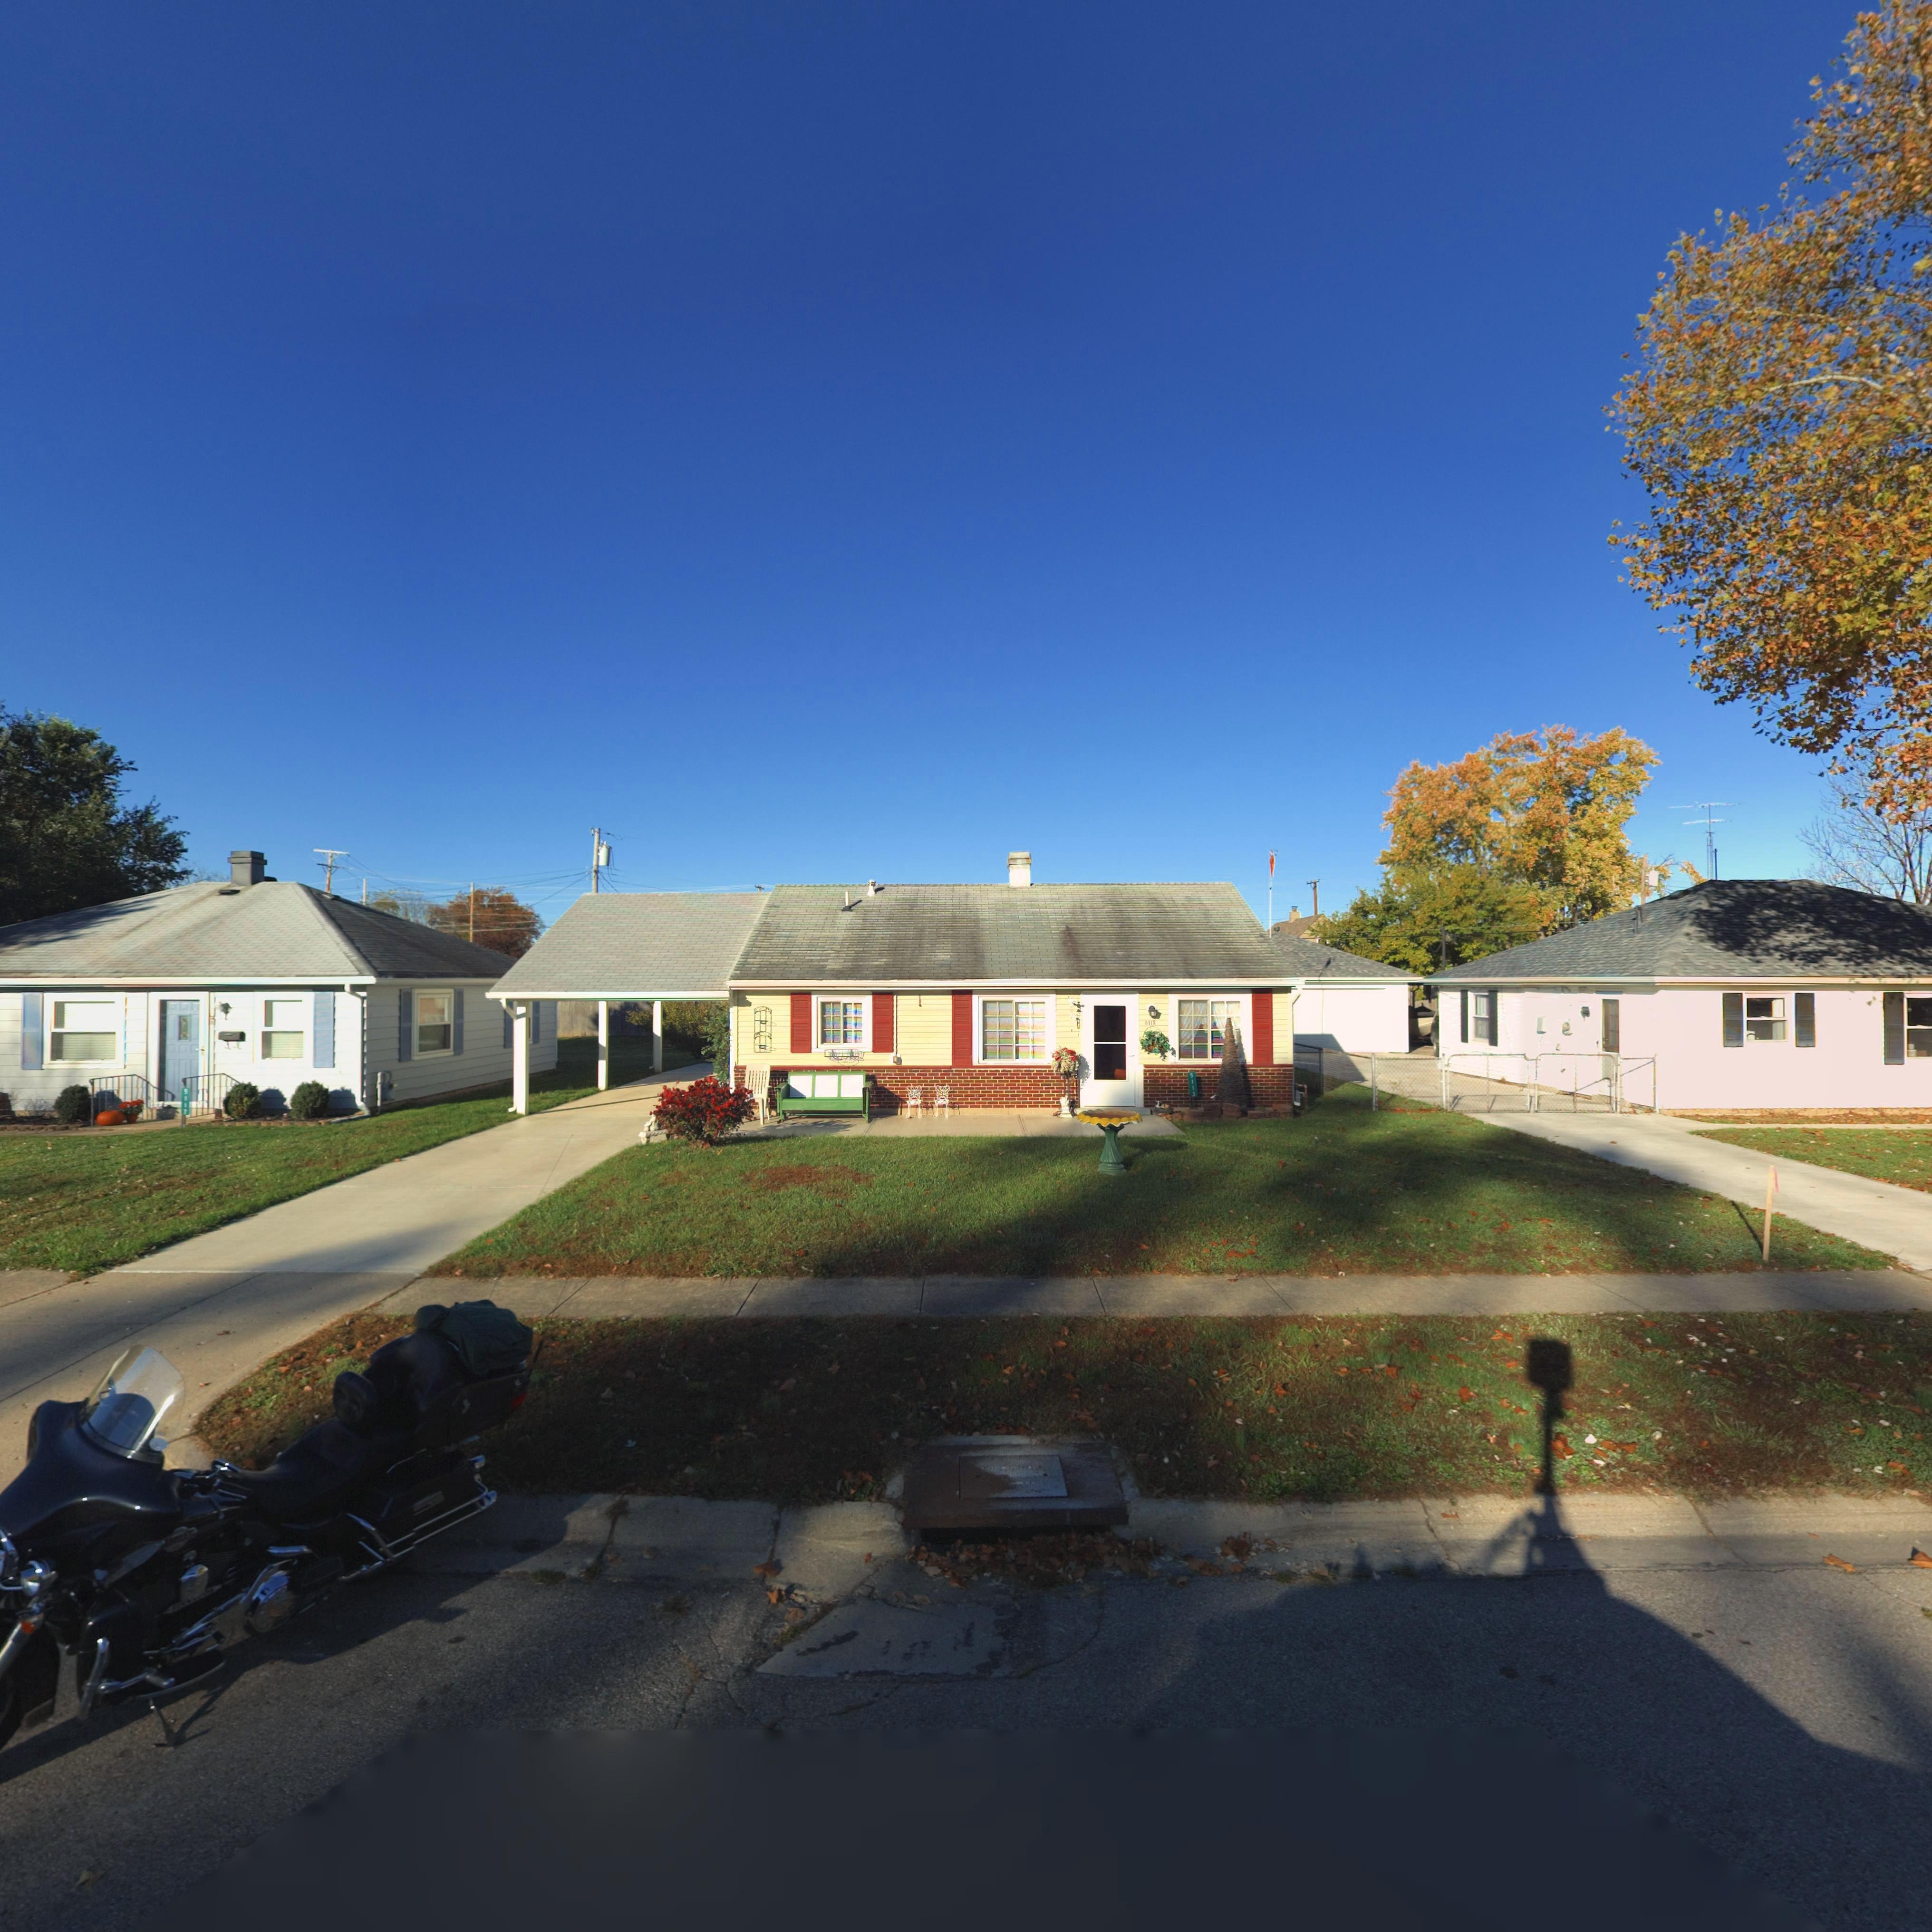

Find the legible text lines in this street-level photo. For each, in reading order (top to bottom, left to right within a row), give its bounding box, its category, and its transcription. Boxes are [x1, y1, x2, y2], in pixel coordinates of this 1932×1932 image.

[1144, 1020, 1156, 1025] StreetNumber: 5113
[1189, 1072, 1196, 1097] StreetNumber: 5113